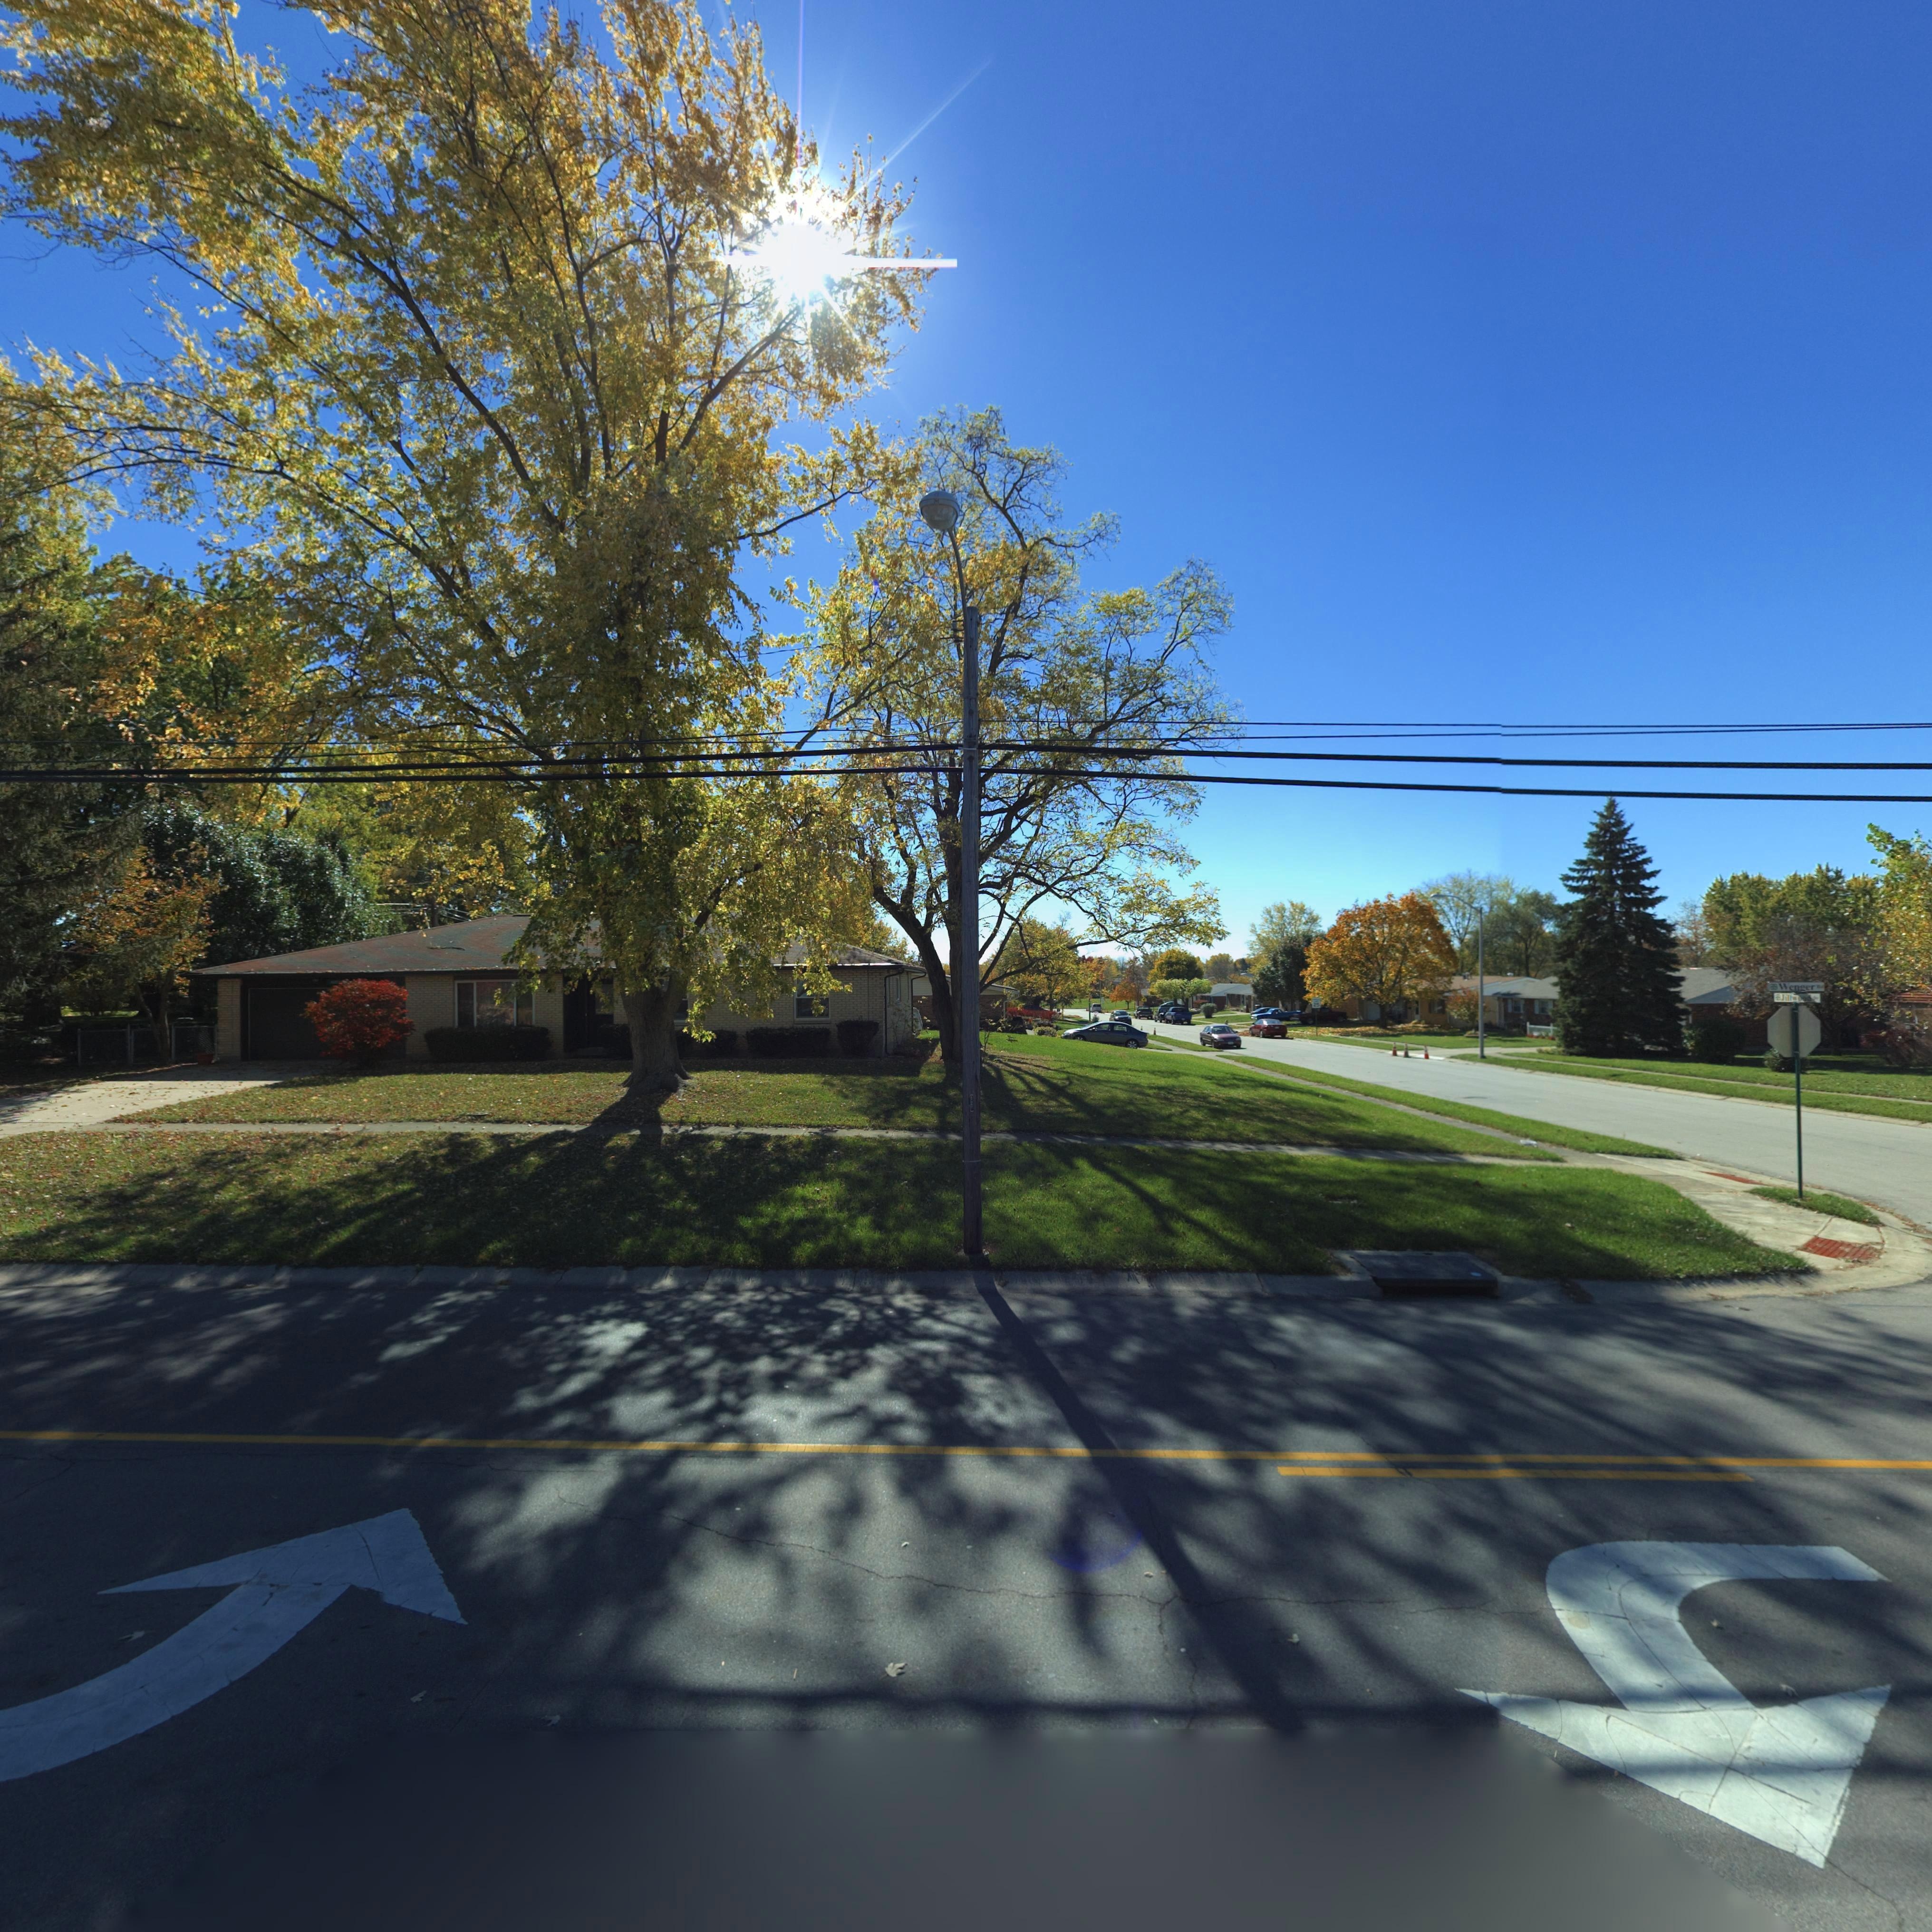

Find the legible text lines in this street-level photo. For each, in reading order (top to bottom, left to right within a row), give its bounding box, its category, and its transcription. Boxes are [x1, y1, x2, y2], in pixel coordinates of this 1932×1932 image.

[1777, 983, 1816, 994] StreetName: Wenger
[1780, 994, 1812, 1002] StreetName: Jillwood